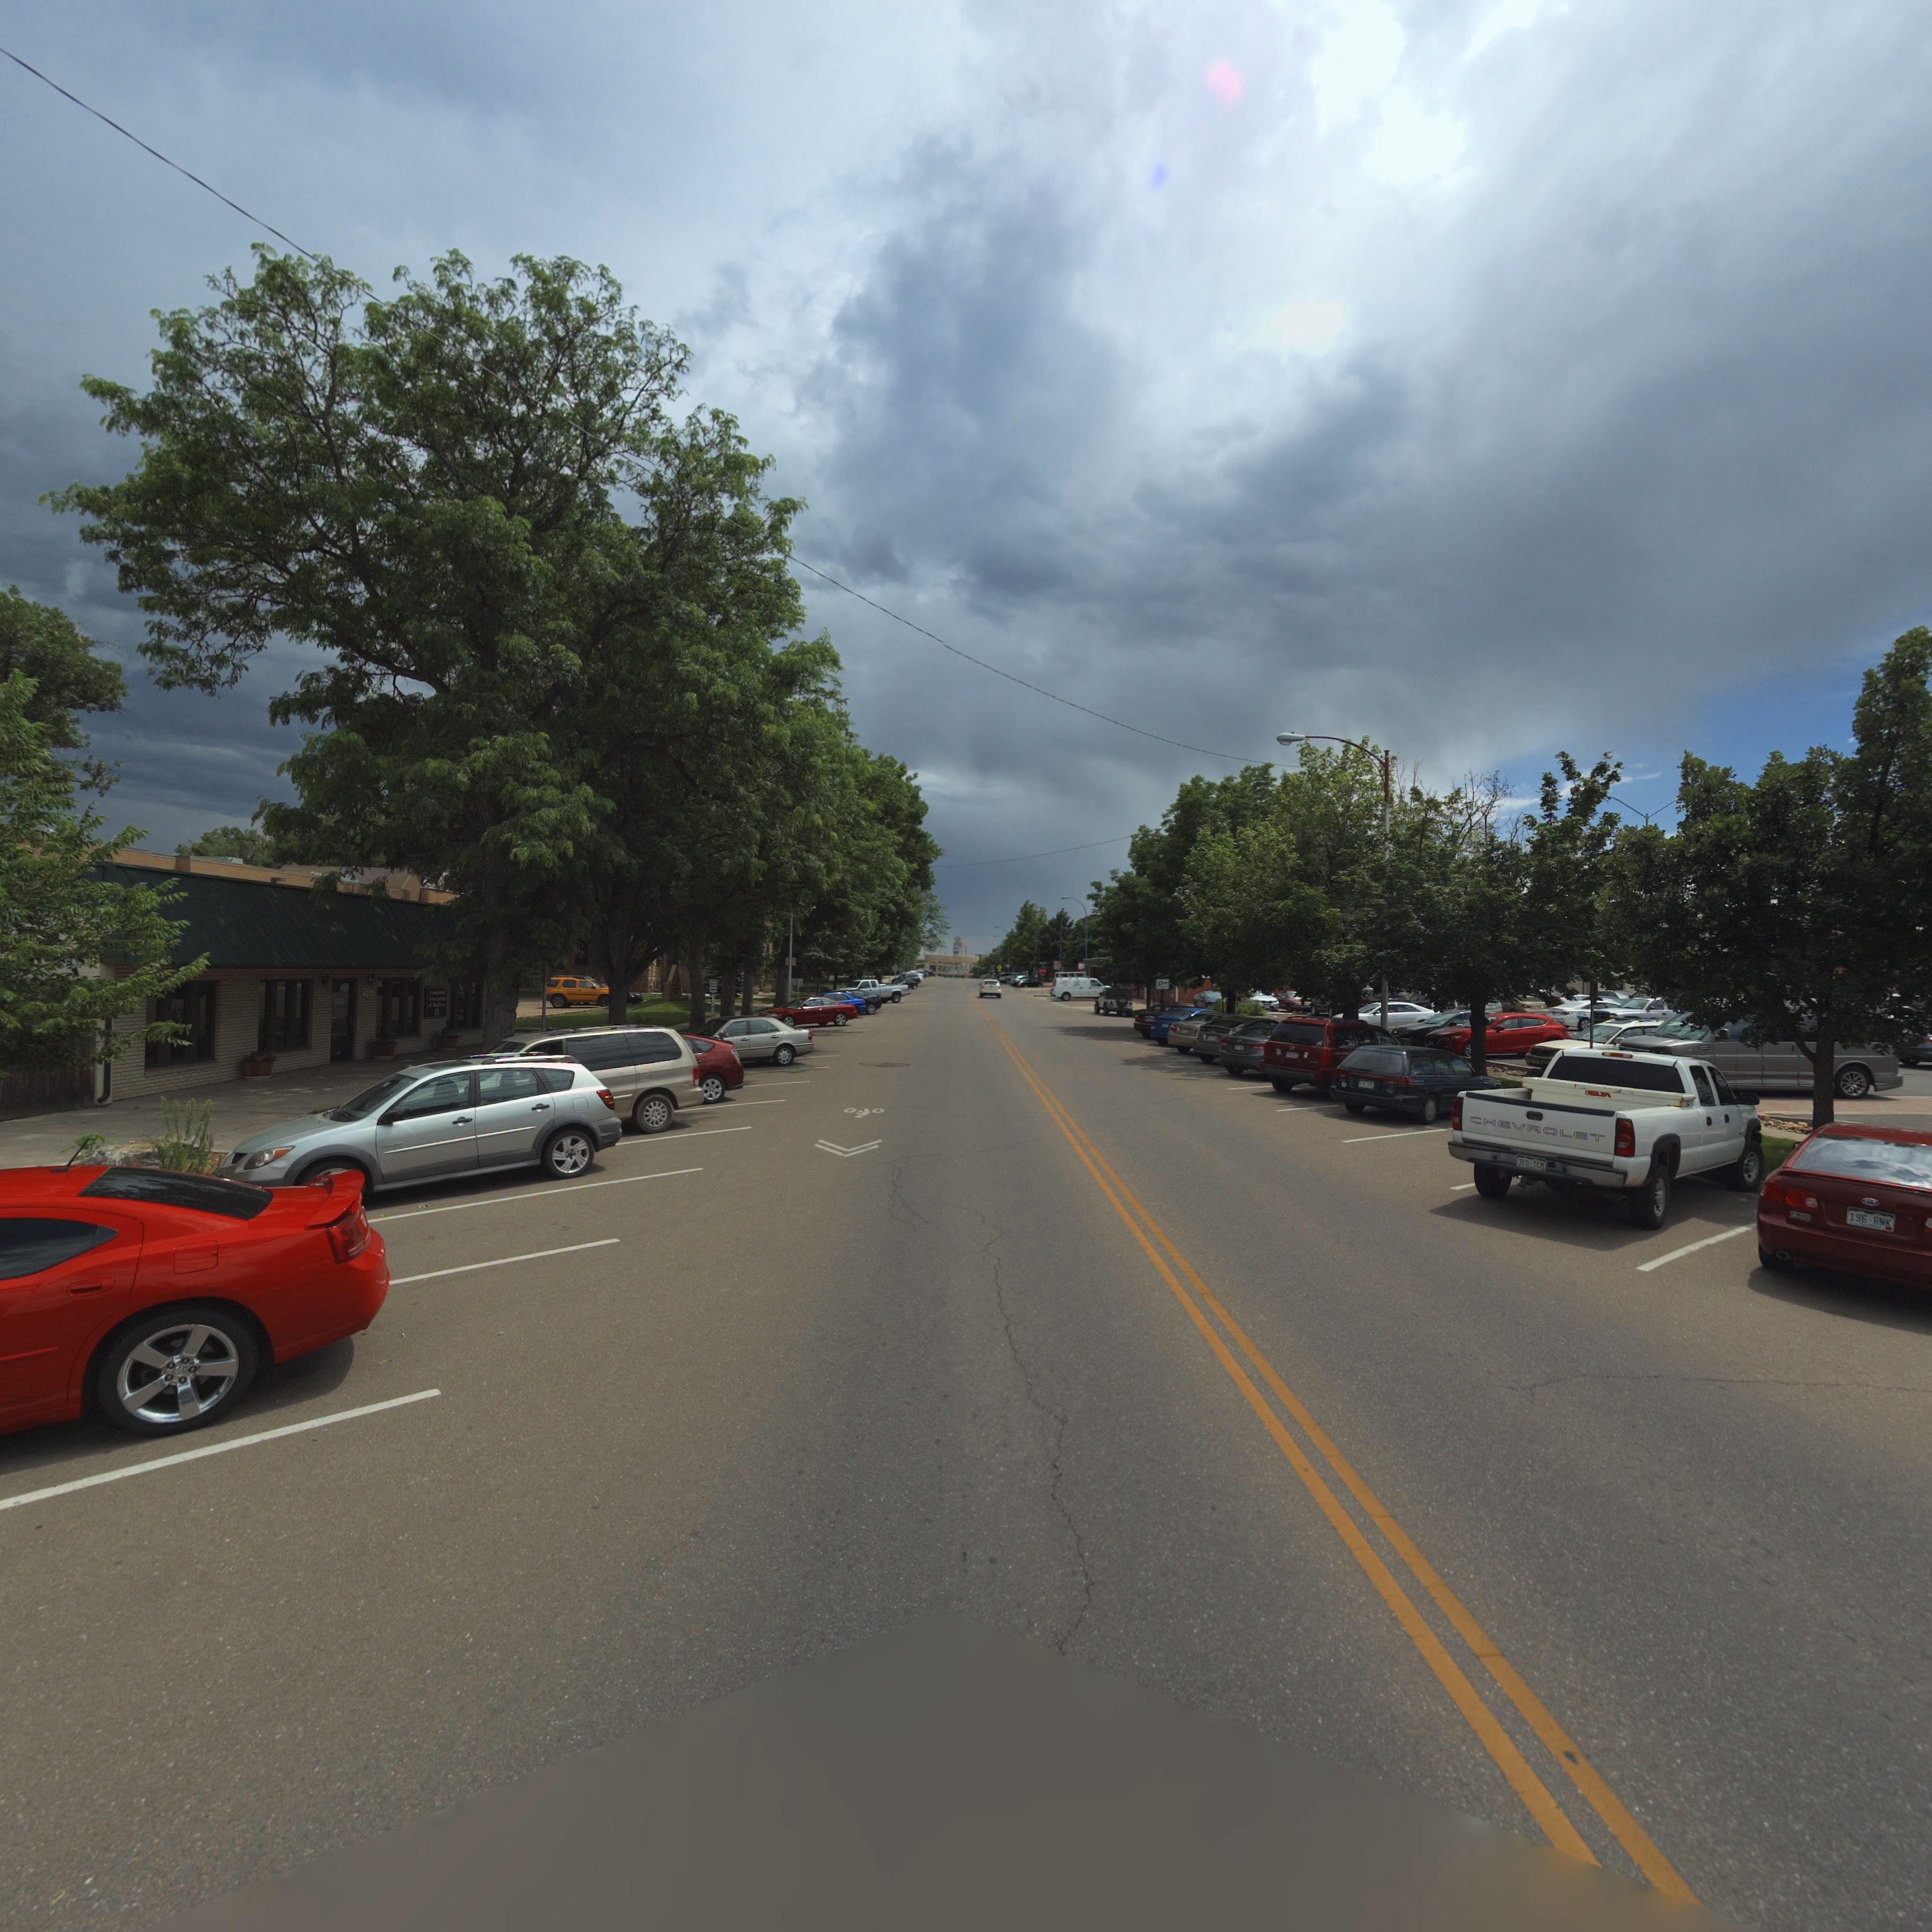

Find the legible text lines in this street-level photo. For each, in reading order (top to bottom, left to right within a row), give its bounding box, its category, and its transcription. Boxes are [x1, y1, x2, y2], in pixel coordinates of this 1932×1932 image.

[360, 989, 375, 997] StreetNumber: 420
[429, 990, 445, 995] StreetNumber: L*****t
[428, 995, 447, 1001] BusinessName: Asso***tion
[427, 1002, 446, 1008] BusinessName: of Re*****